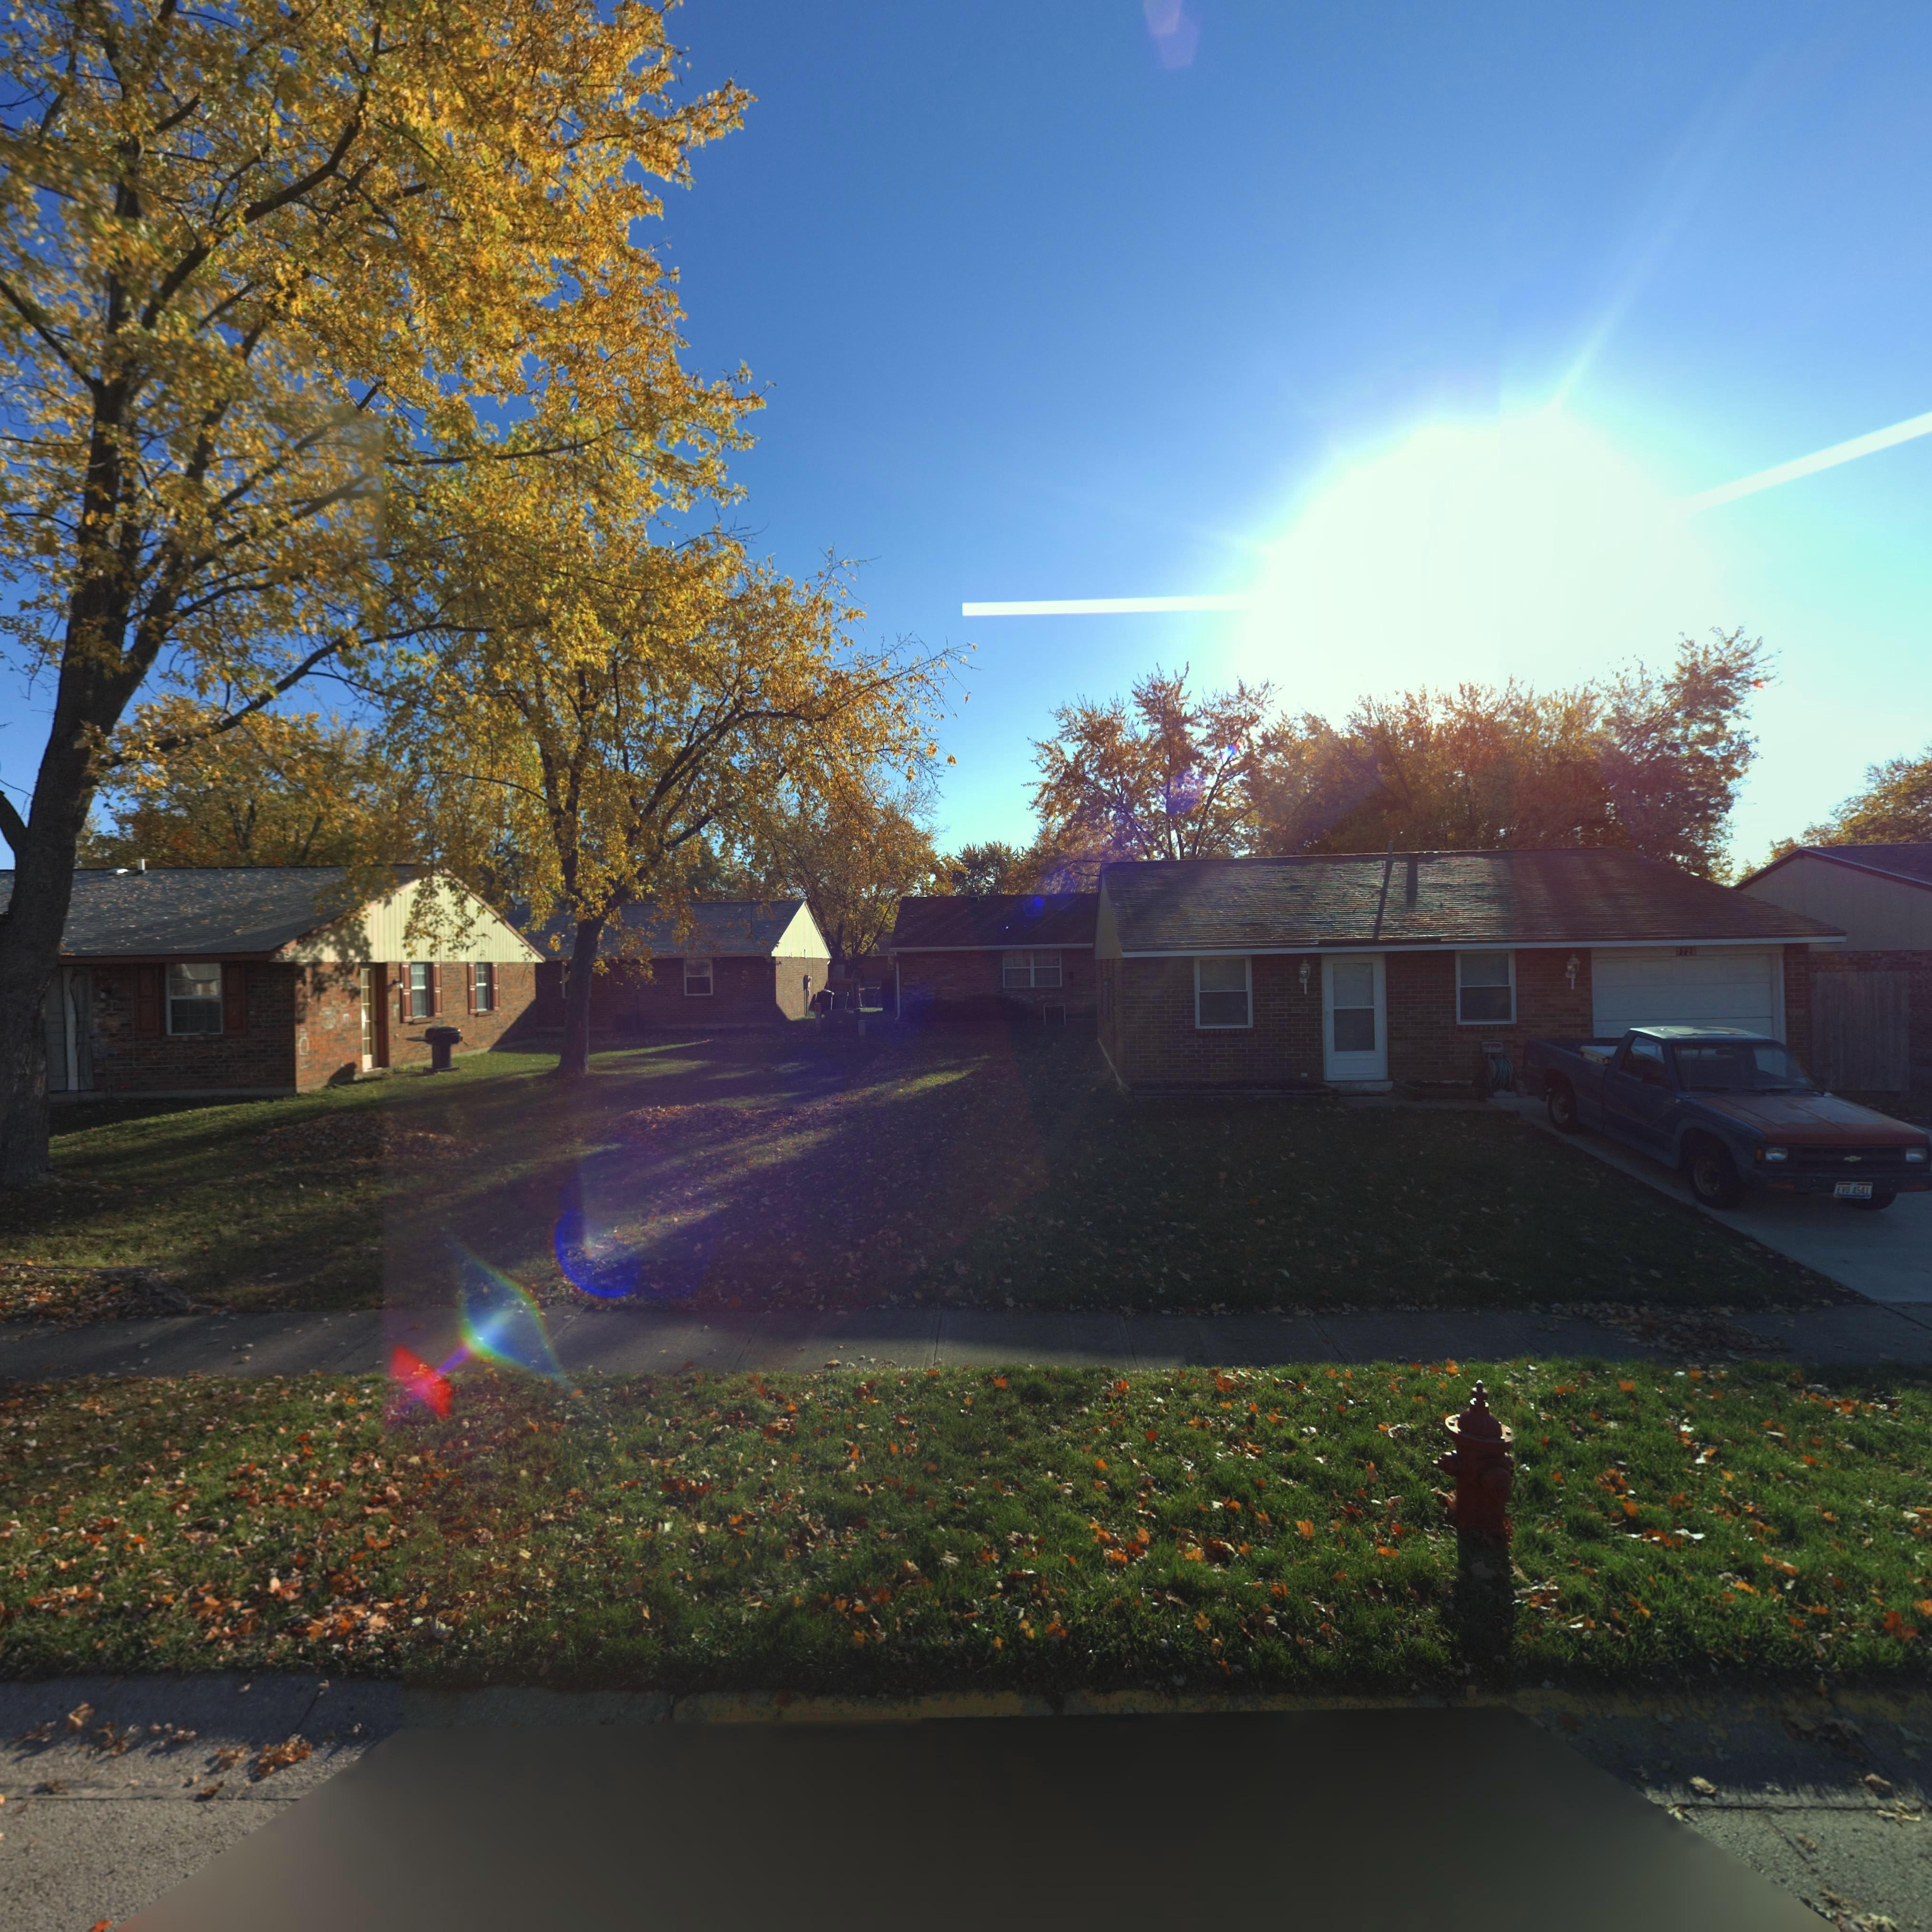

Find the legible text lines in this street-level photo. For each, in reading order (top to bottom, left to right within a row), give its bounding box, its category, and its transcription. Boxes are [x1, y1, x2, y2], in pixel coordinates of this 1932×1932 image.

[1675, 947, 1697, 956] StreetNumber: 7728